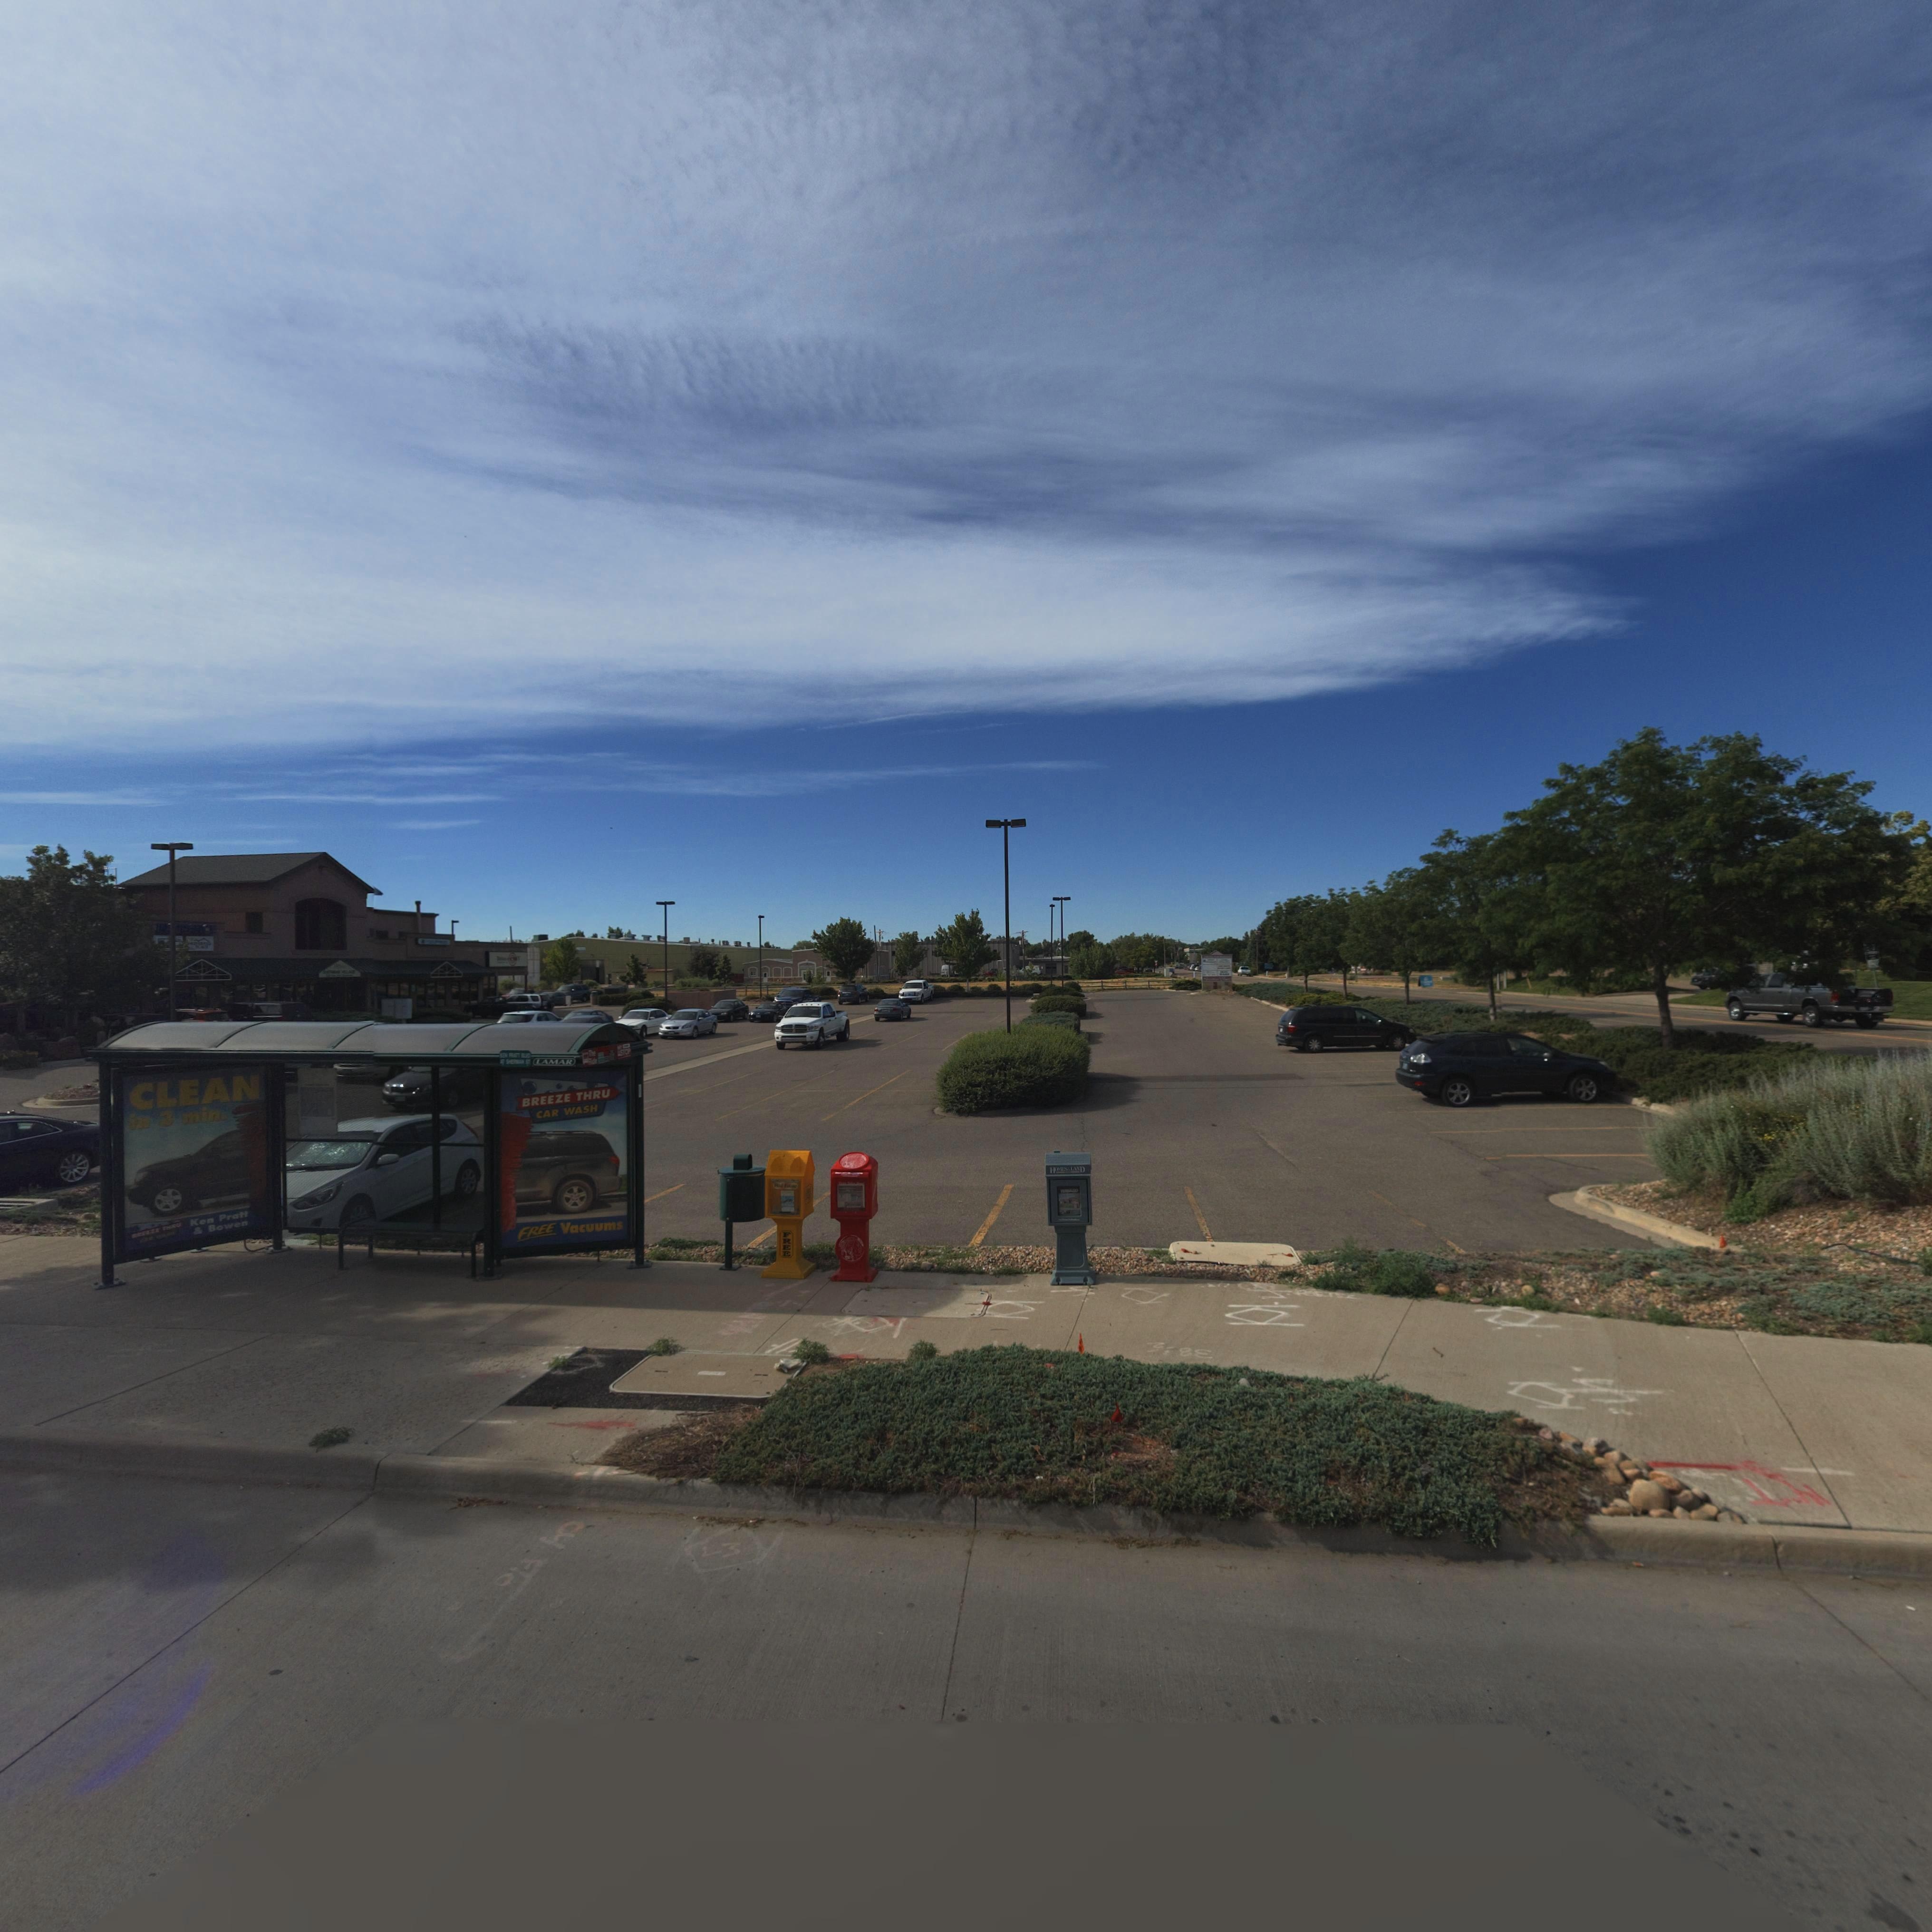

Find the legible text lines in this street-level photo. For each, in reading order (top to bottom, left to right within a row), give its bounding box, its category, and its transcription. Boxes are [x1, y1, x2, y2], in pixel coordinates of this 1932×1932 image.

[155, 924, 216, 935] BusinessName: I******CE
[517, 955, 521, 960] BusinessName: T
[500, 1053, 531, 1058] StreetName: KEN PRATT BLVD
[506, 1059, 530, 1064] StreetName: SHERMAN ST